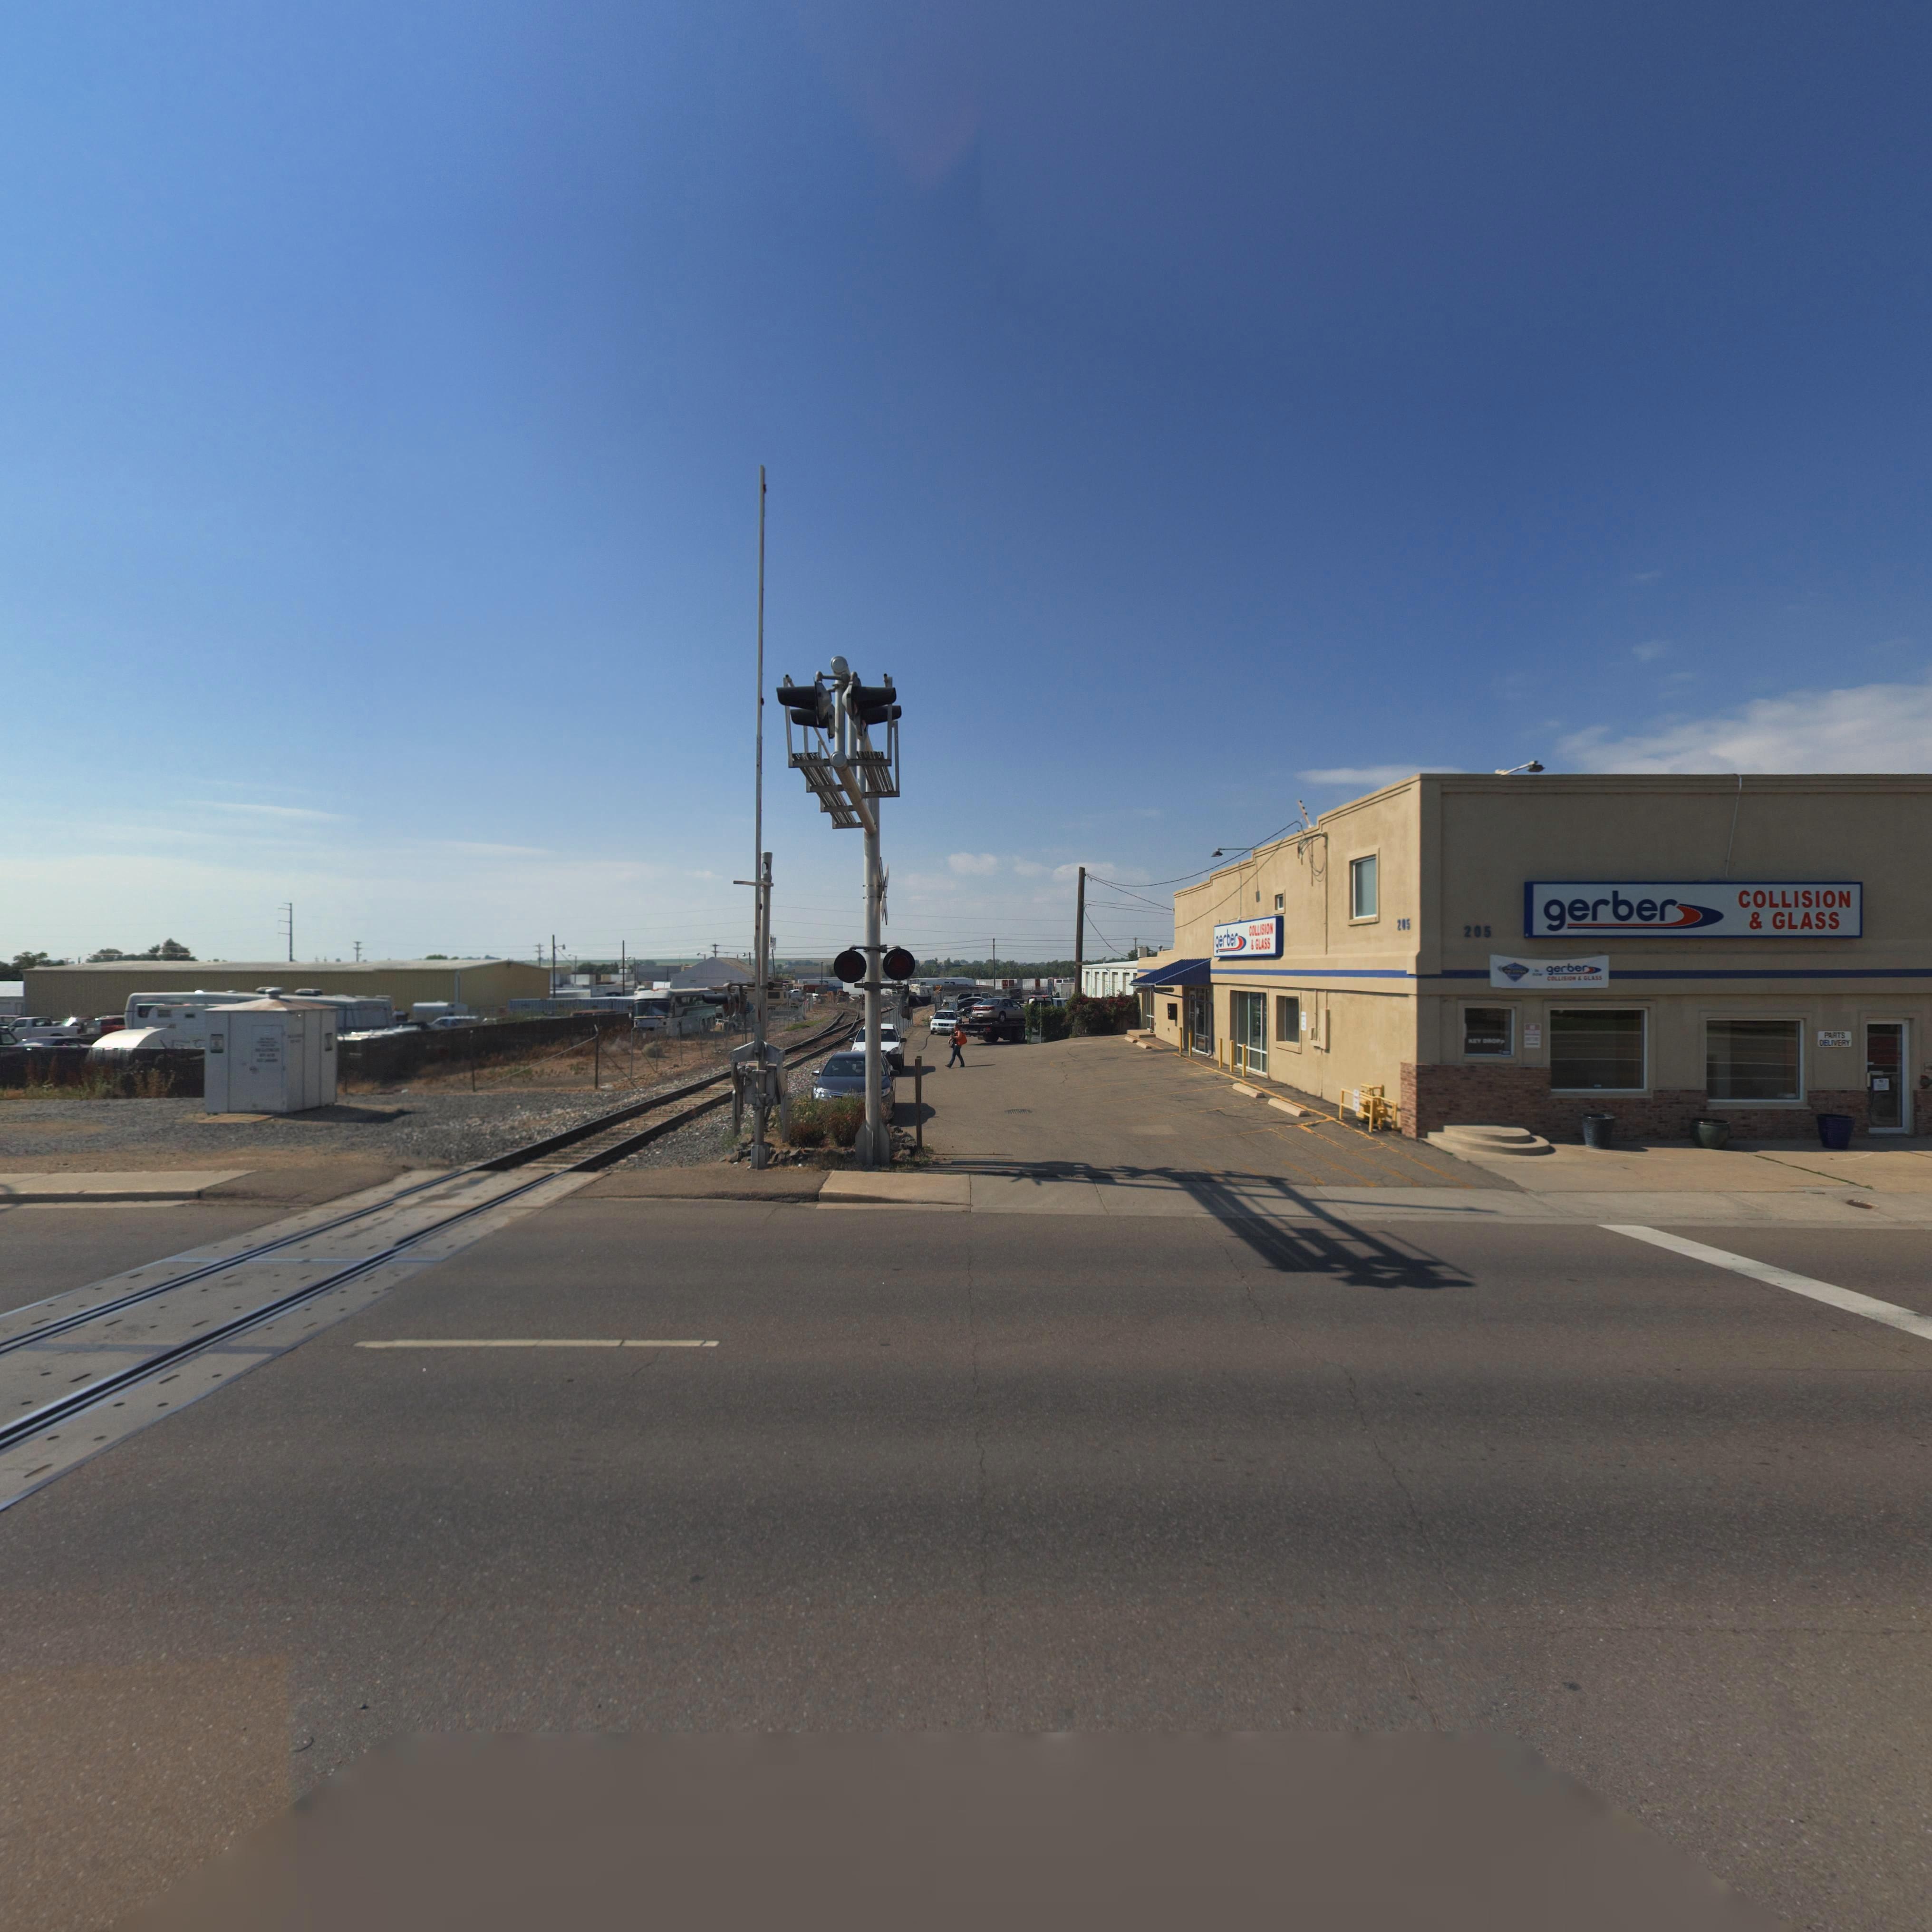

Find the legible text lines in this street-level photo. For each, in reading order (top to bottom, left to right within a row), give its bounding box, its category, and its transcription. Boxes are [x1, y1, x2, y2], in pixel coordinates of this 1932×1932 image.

[1737, 889, 1851, 908] BusinessName: COLLISION
[1542, 889, 1679, 933] BusinessName: gerber
[1248, 921, 1274, 937] BusinessName: COLLISION
[1396, 917, 1410, 931] StreetNumber: 205
[1463, 925, 1491, 938] StreetNumber: 205
[1748, 910, 1840, 929] BusinessName: * GLASS
[1215, 928, 1238, 954] BusinessName: gerber
[1250, 937, 1271, 950] BusinessName: * GLASS
[1546, 962, 1589, 976] BusinessName: gerber
[1546, 975, 1602, 981] BusinessName: COLLISION * GLASS